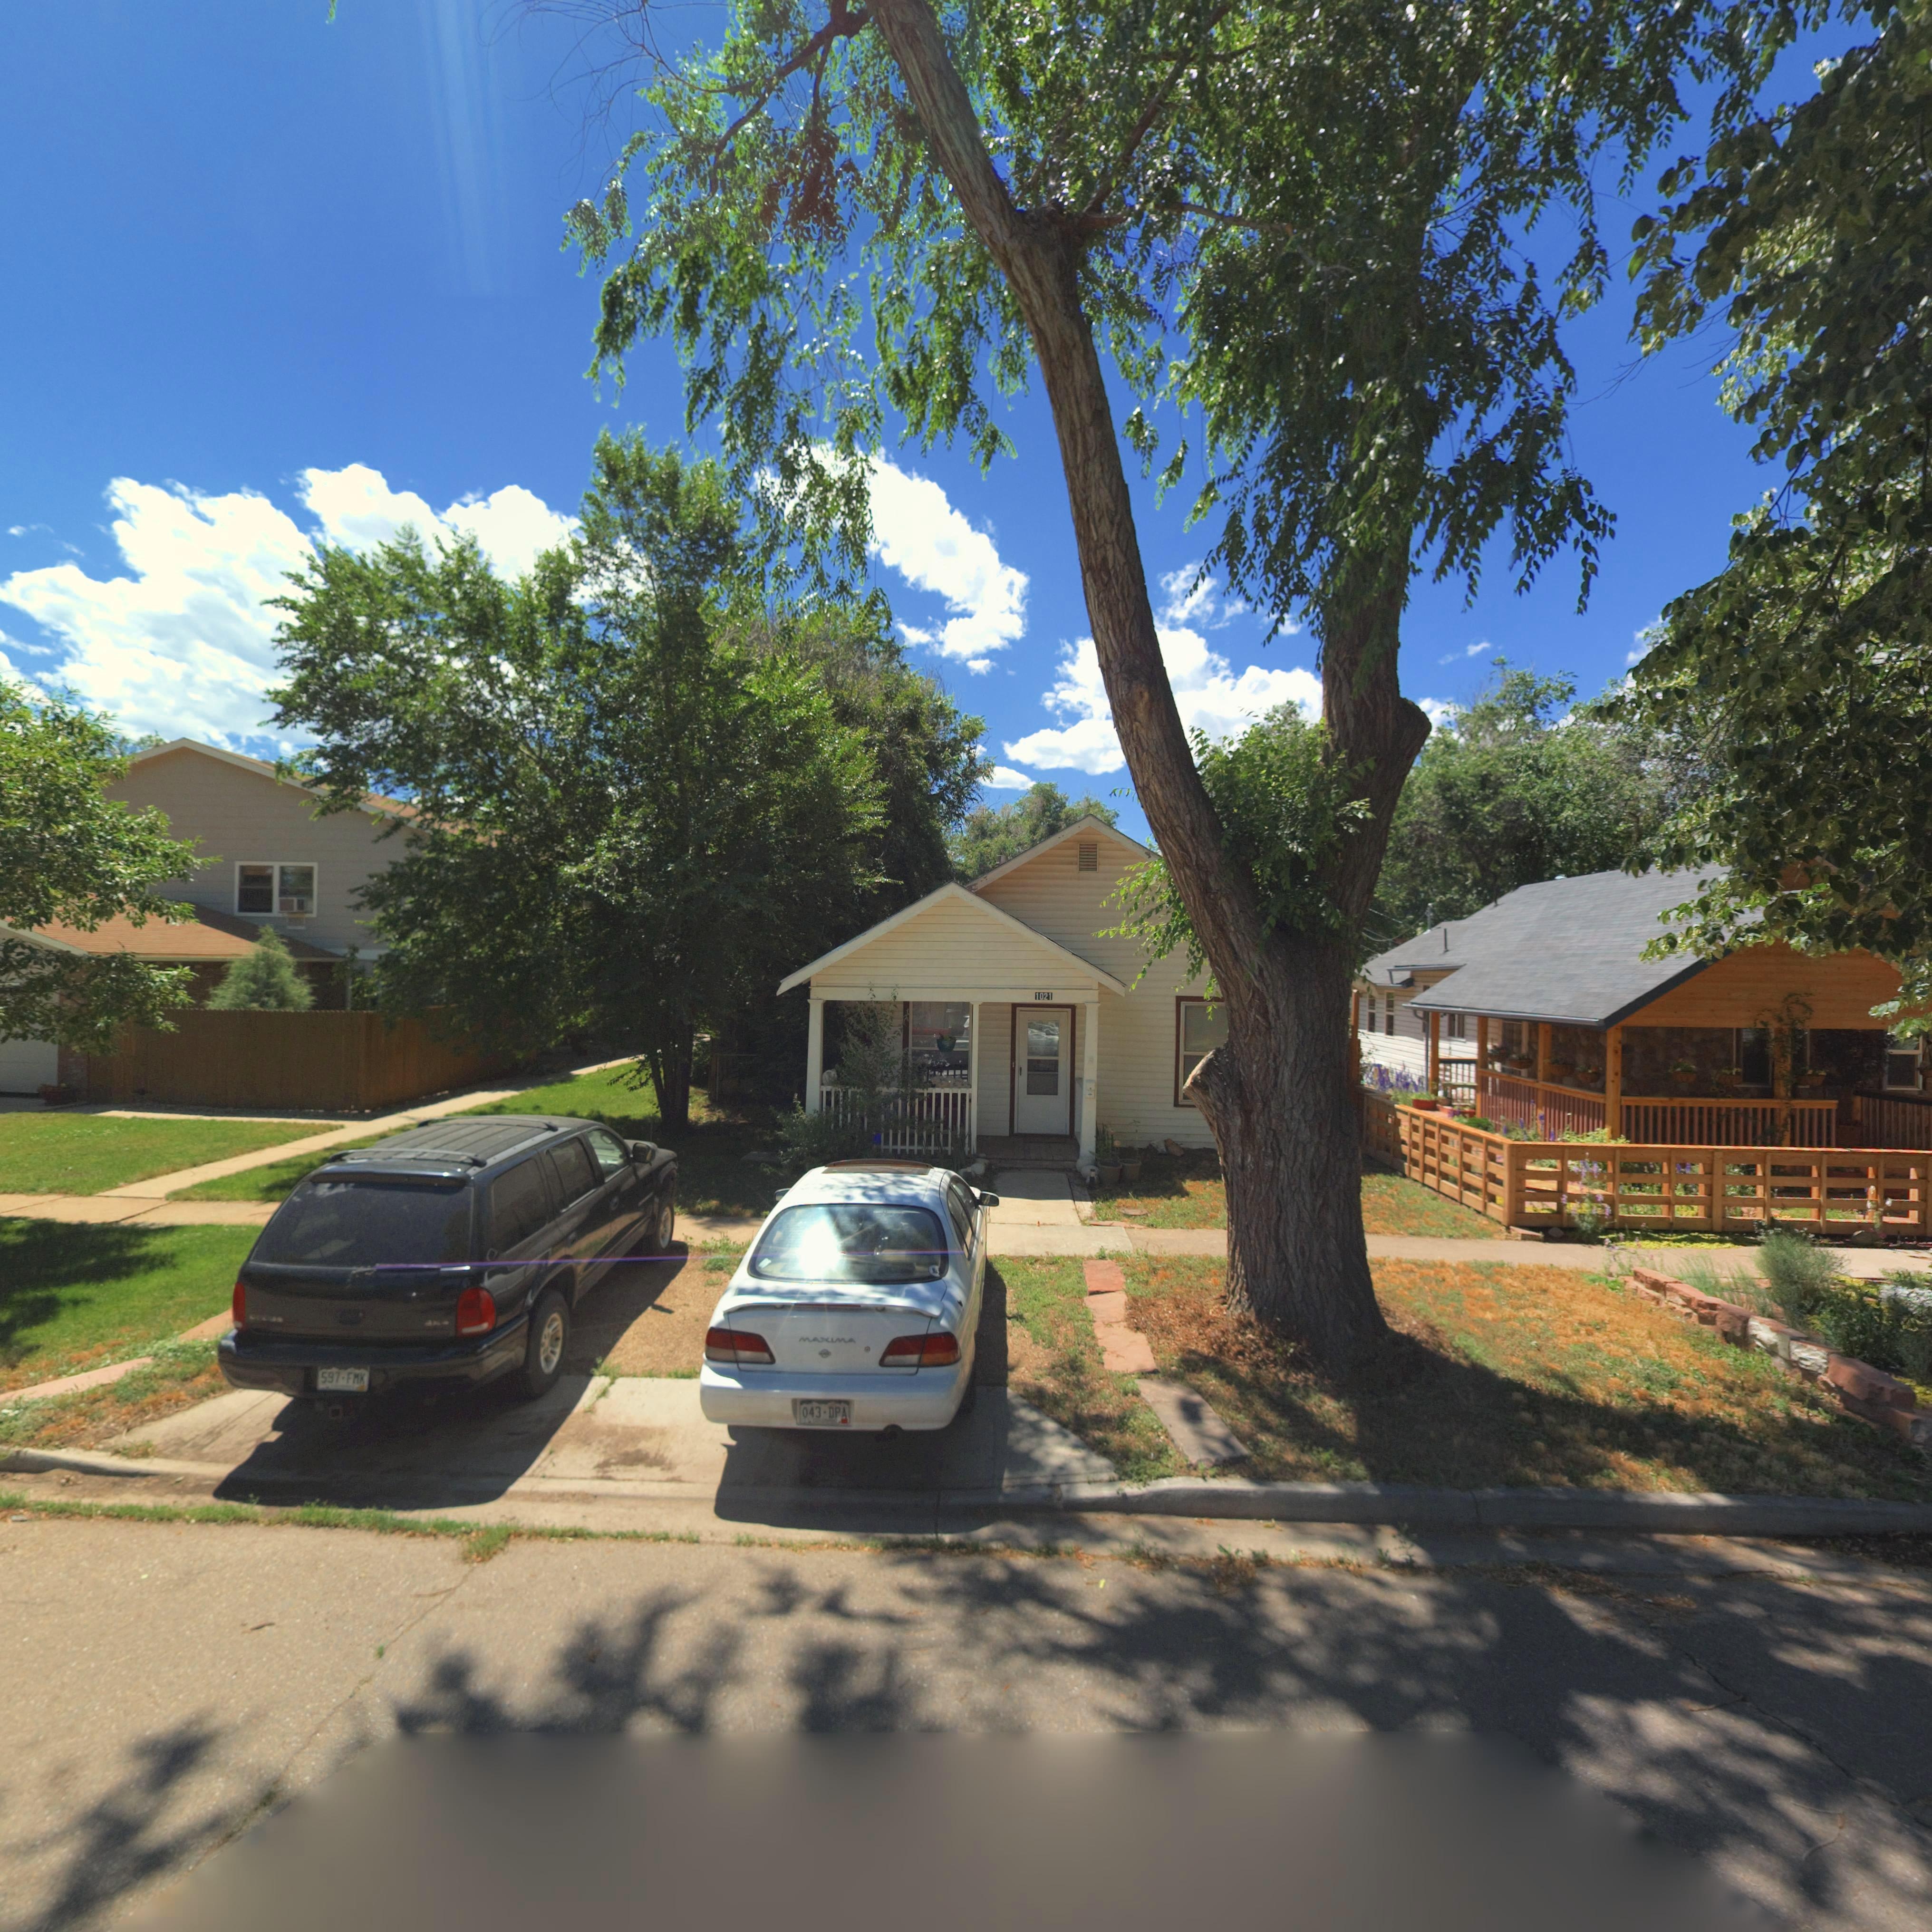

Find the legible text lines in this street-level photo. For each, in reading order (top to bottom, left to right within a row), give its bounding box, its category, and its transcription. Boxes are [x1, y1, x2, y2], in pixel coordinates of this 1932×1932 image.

[1035, 992, 1051, 1000] StreetNumber: 1021